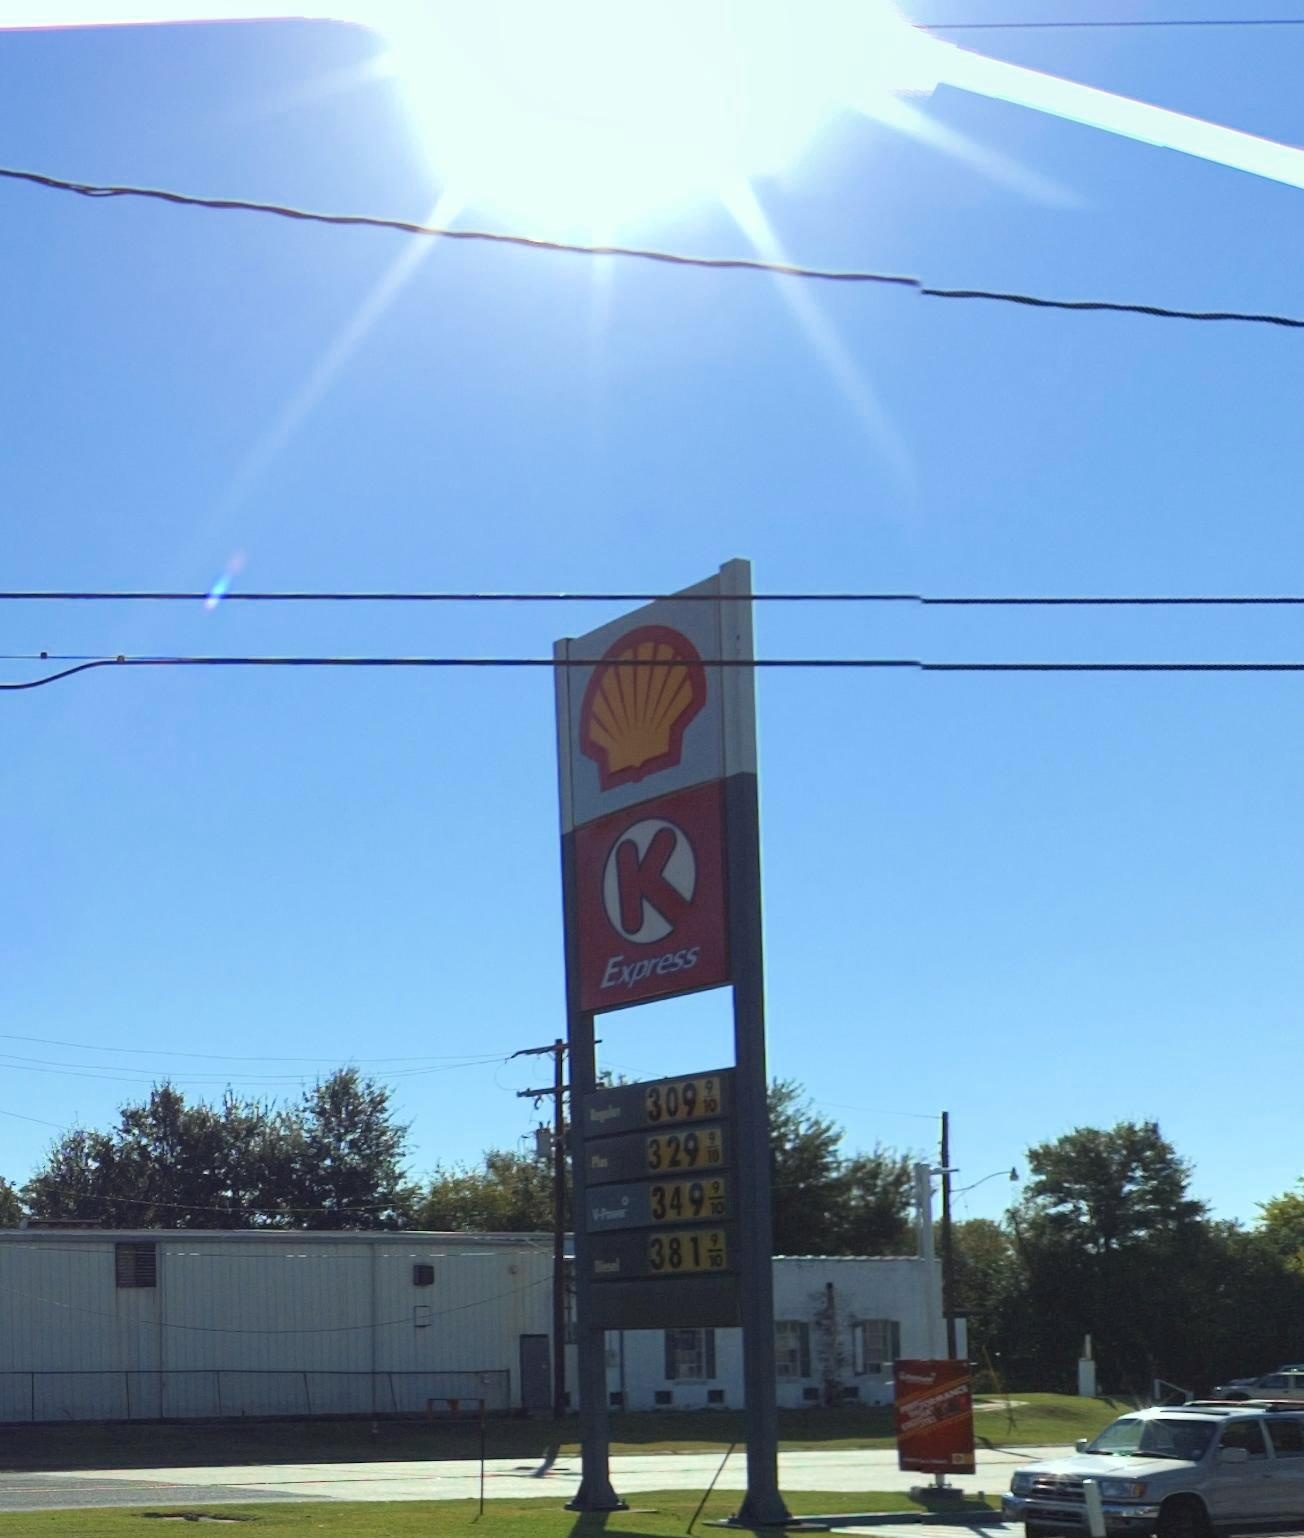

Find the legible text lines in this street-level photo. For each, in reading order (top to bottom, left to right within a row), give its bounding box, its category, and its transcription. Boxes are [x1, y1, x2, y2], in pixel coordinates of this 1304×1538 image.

[611, 821, 696, 940] BusinessName: K
[596, 942, 706, 992] BusinessName: Express
[644, 1076, 721, 1126] None: 309 9/10
[589, 1154, 599, 1172] None: P
[646, 1127, 723, 1174] None: 329 9/10
[588, 1204, 610, 1225] None: V-P
[619, 1193, 632, 1208] None: O
[648, 1176, 728, 1224] None: 349 9/10
[590, 1253, 623, 1275] None: D*esel
[648, 1229, 726, 1274] None: 381 9/10